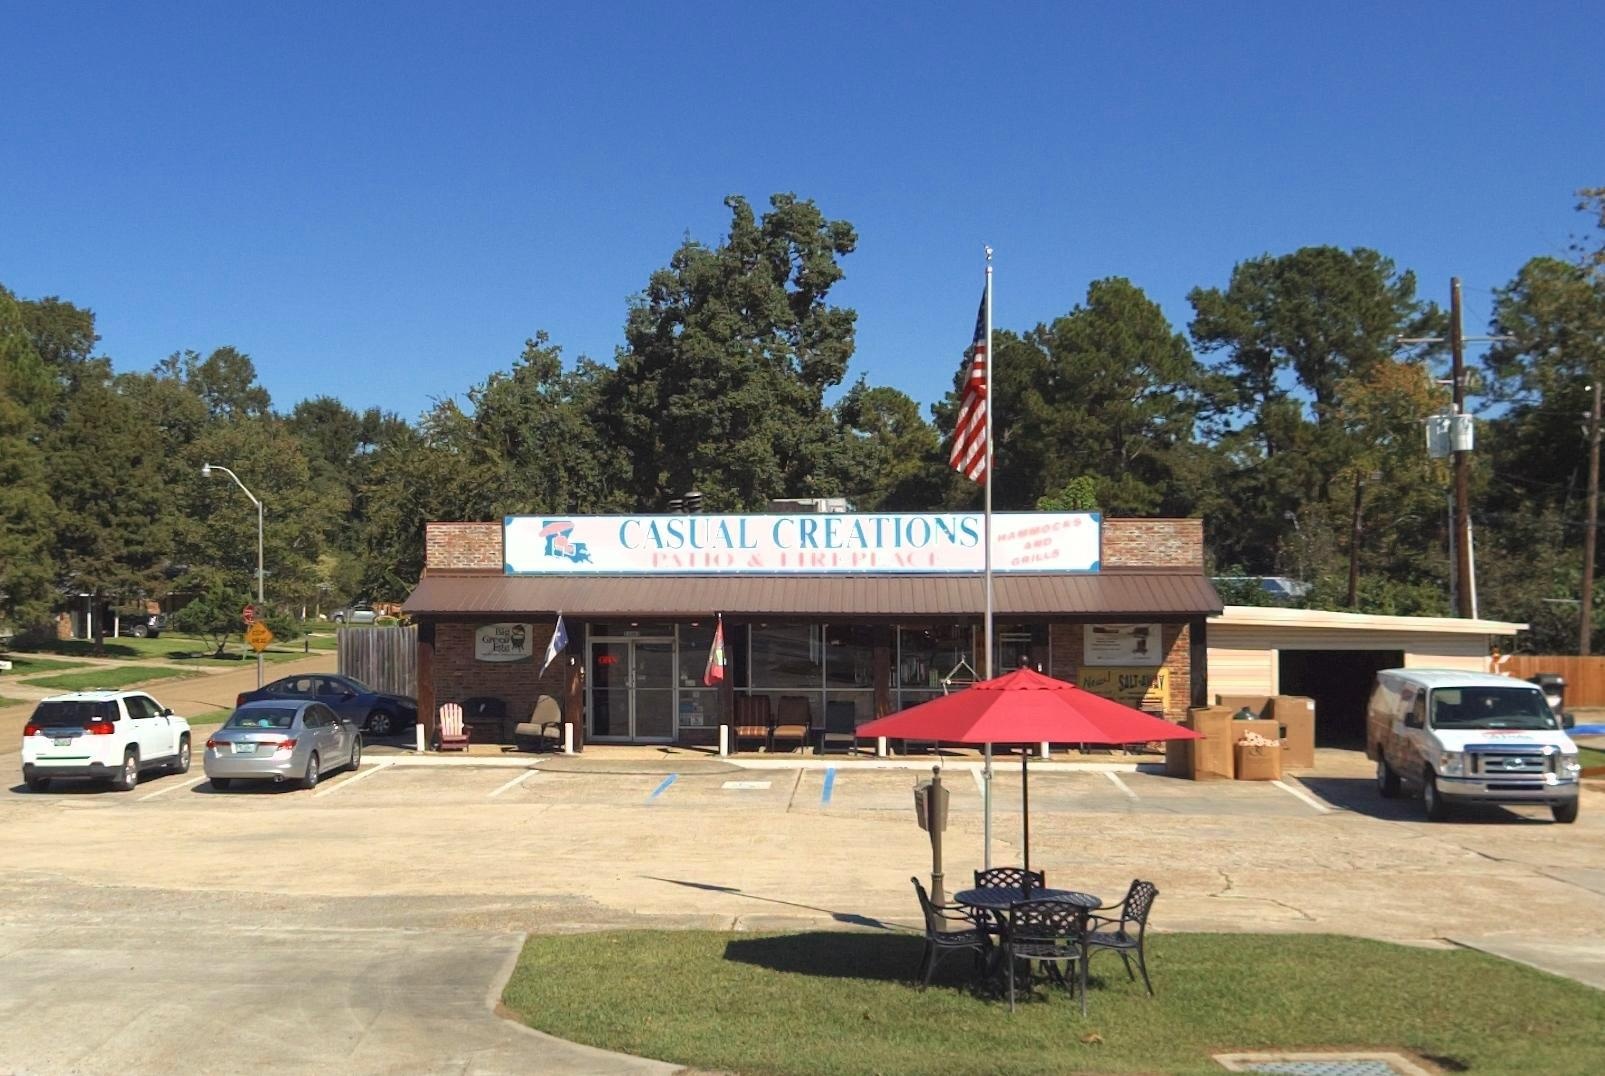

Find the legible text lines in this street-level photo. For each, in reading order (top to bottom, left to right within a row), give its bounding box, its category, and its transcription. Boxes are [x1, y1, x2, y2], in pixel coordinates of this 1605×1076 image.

[618, 516, 979, 551] BusinessName: CASUAL CREATIONS
[995, 515, 1084, 544] None: HAMMOCKS
[1021, 535, 1054, 553] None: AND
[650, 551, 945, 569] None: PATIO & FIREPLACE
[1010, 546, 1060, 568] None: GRILLS
[482, 634, 513, 645] None: Green
[492, 642, 512, 654] None: Egg
[494, 626, 512, 637] None: Big
[1081, 669, 1112, 692] None: New!
[1118, 673, 1165, 693] None: SALT-AWAy